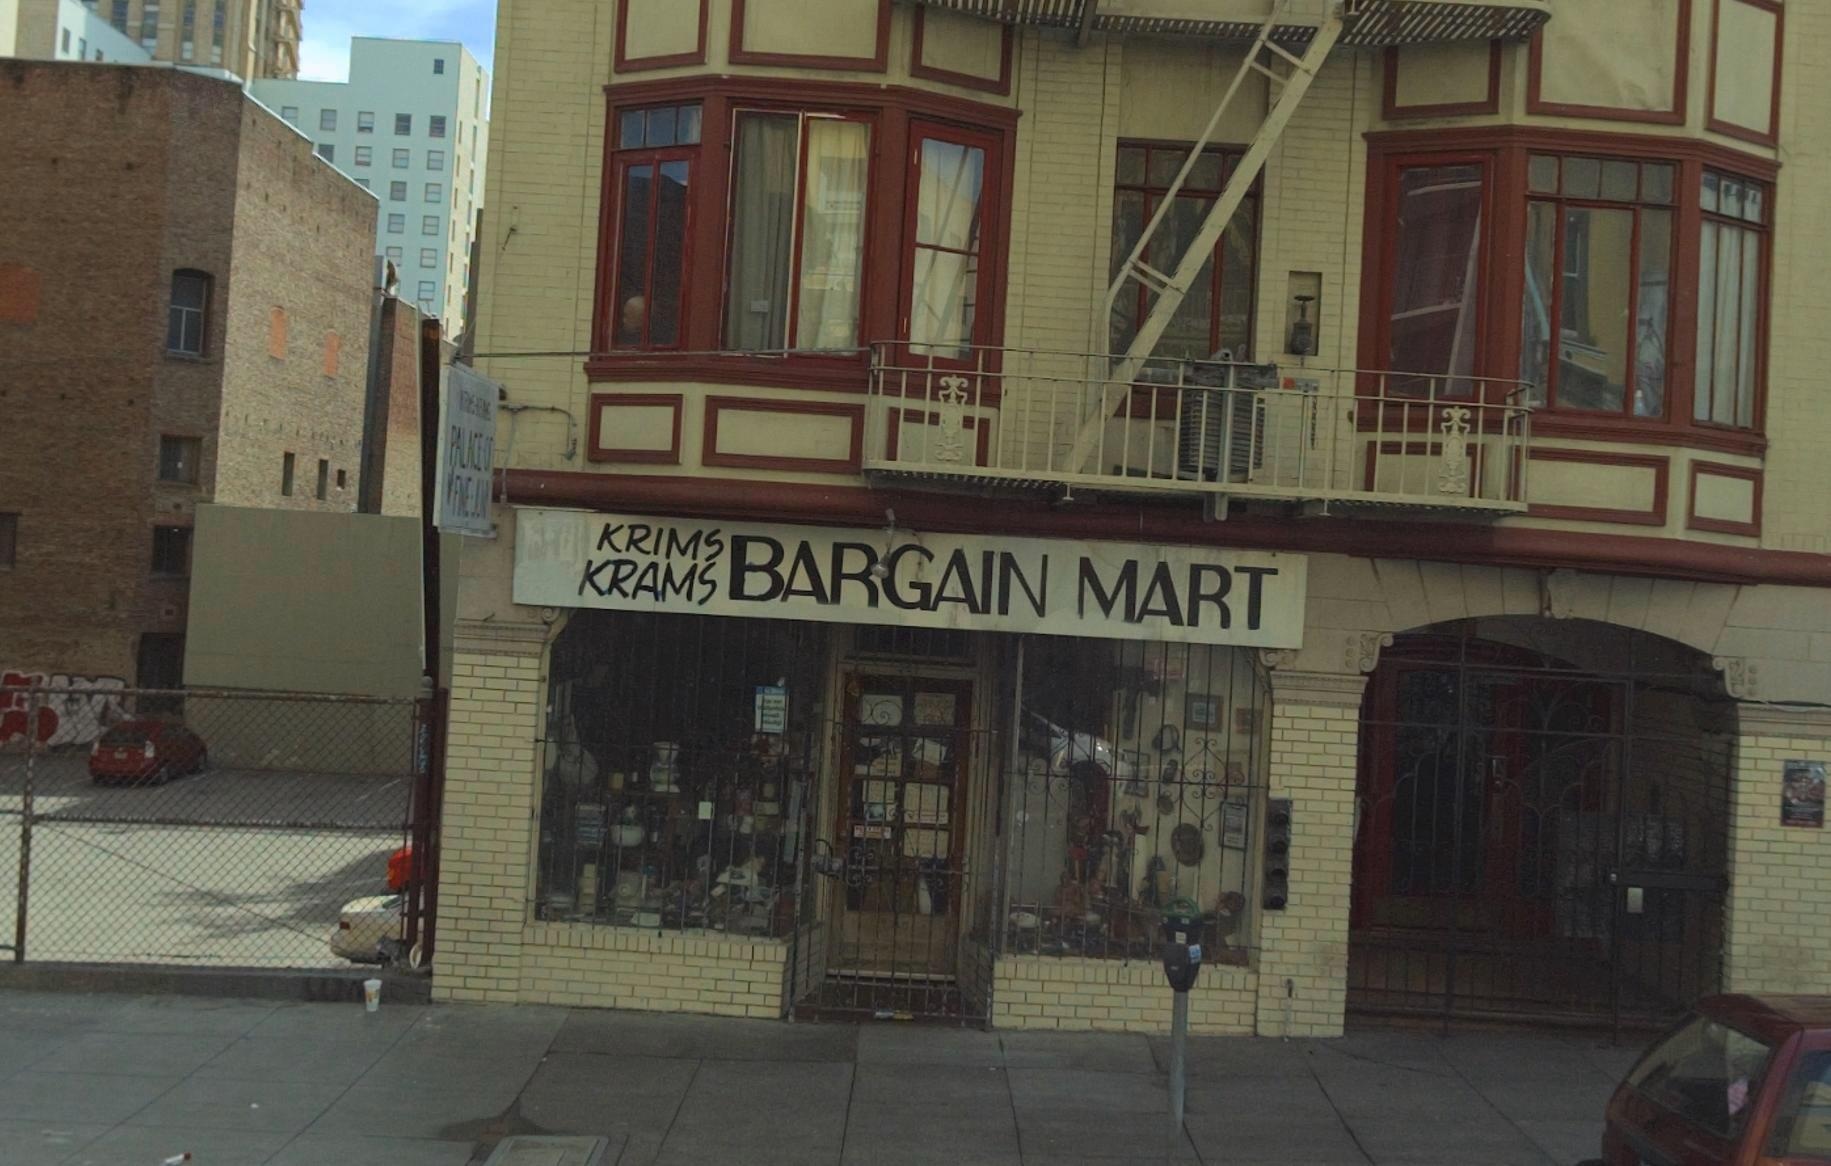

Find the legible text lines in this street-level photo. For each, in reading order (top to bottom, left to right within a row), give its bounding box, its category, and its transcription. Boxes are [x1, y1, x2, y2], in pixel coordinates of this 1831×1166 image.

[447, 422, 498, 474] None: PALACE
[446, 473, 492, 524] None: F**E IN
[592, 519, 728, 564] BusinessName: KRIMS
[574, 555, 720, 608] BusinessName: KRAMS
[727, 532, 1283, 632] BusinessName: BARGAIN MART